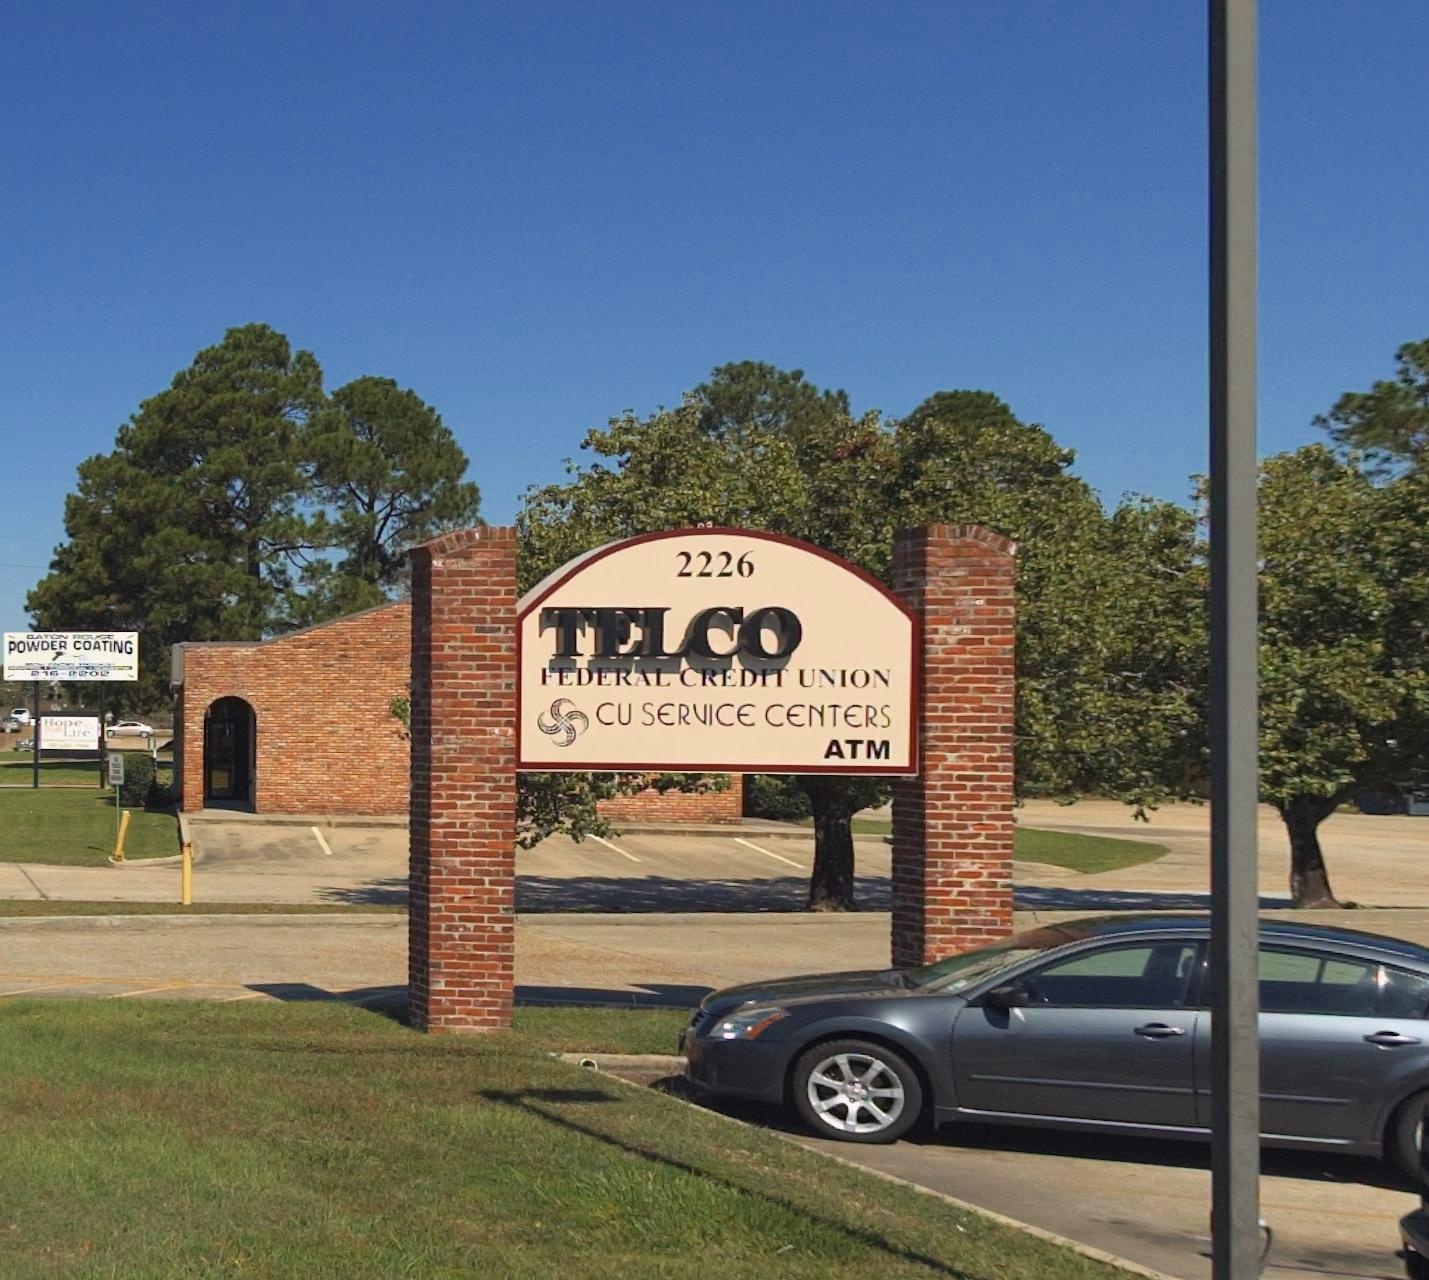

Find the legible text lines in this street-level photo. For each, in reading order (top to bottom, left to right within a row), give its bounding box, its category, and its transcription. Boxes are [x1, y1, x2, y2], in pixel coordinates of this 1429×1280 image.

[672, 547, 758, 580] StreetNumber: 2226
[541, 604, 805, 661] BusinessName: TELCO
[6, 638, 135, 657] BusinessName: POWDER COATING
[29, 668, 112, 678] None: 216-2202
[536, 664, 893, 691] BusinessName: FEDERAL CREDIT UNION
[42, 715, 85, 729] BusinessName: Hope
[62, 726, 94, 739] BusinessName: Life
[592, 699, 894, 731] None: CU SERVICE CENTERS
[820, 735, 893, 764] None: ATM